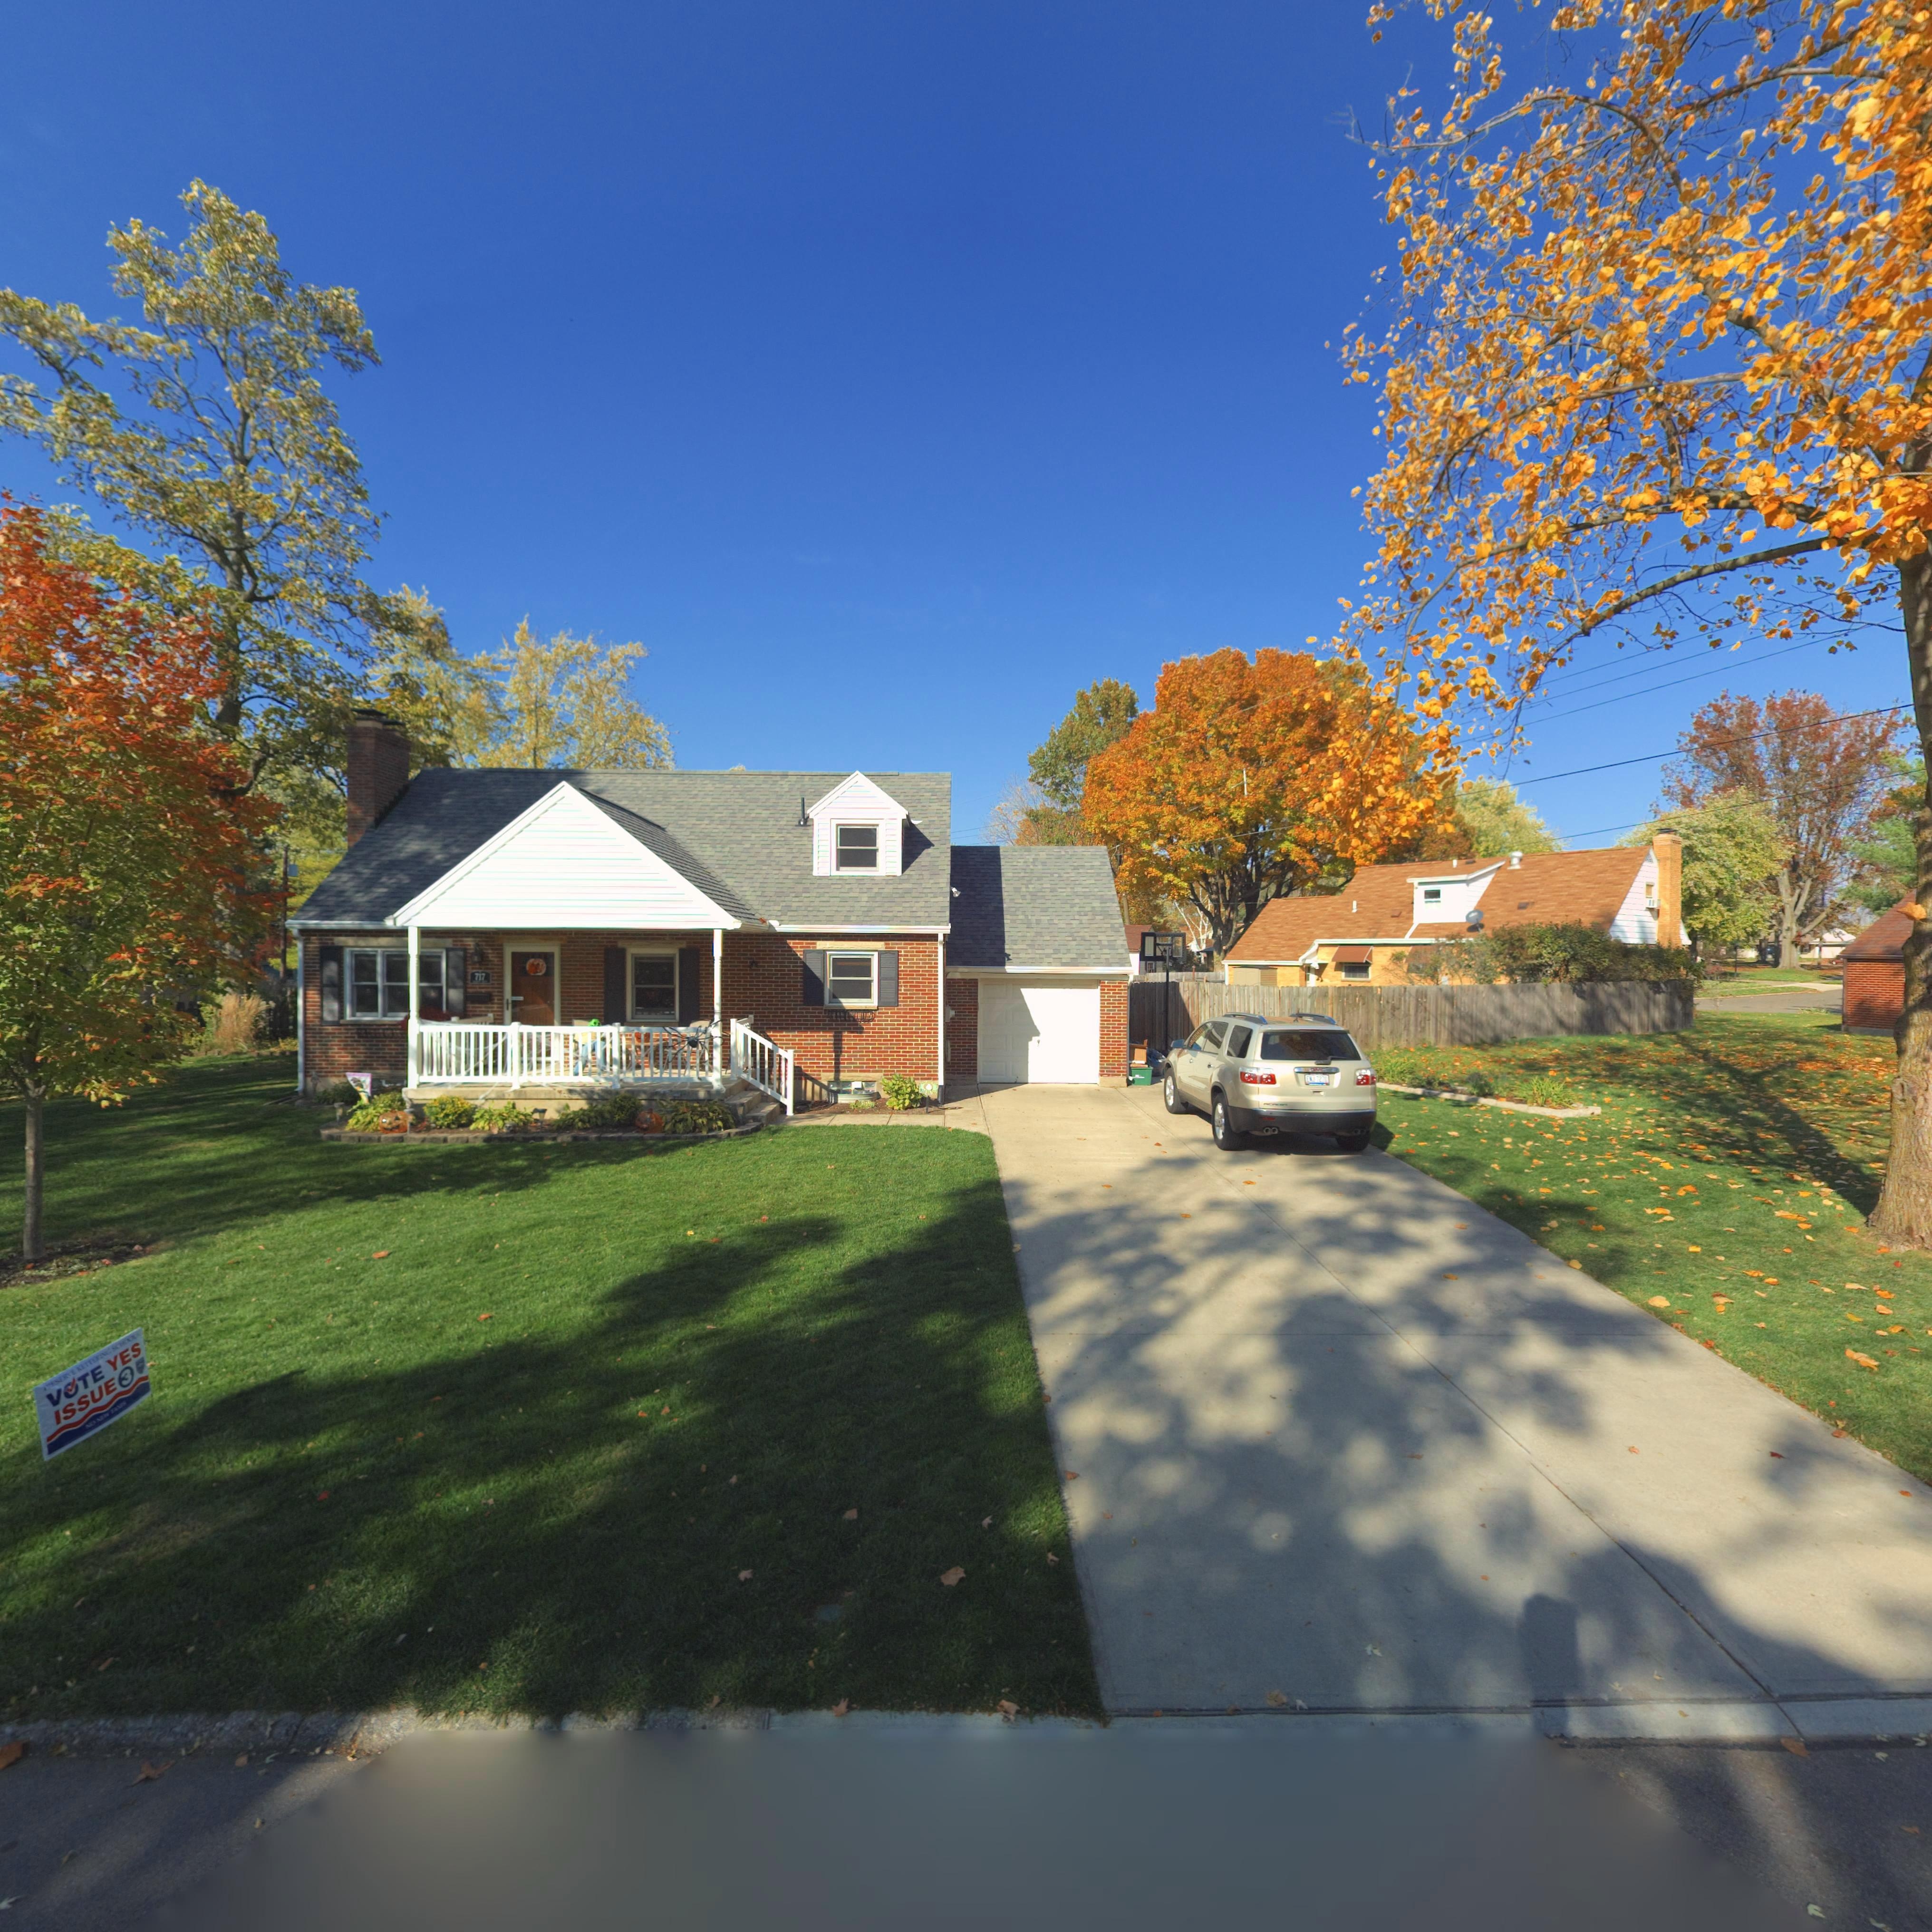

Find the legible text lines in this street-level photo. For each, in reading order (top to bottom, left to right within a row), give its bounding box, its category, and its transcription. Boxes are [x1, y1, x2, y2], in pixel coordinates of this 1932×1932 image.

[473, 972, 487, 982] StreetNumber: 717